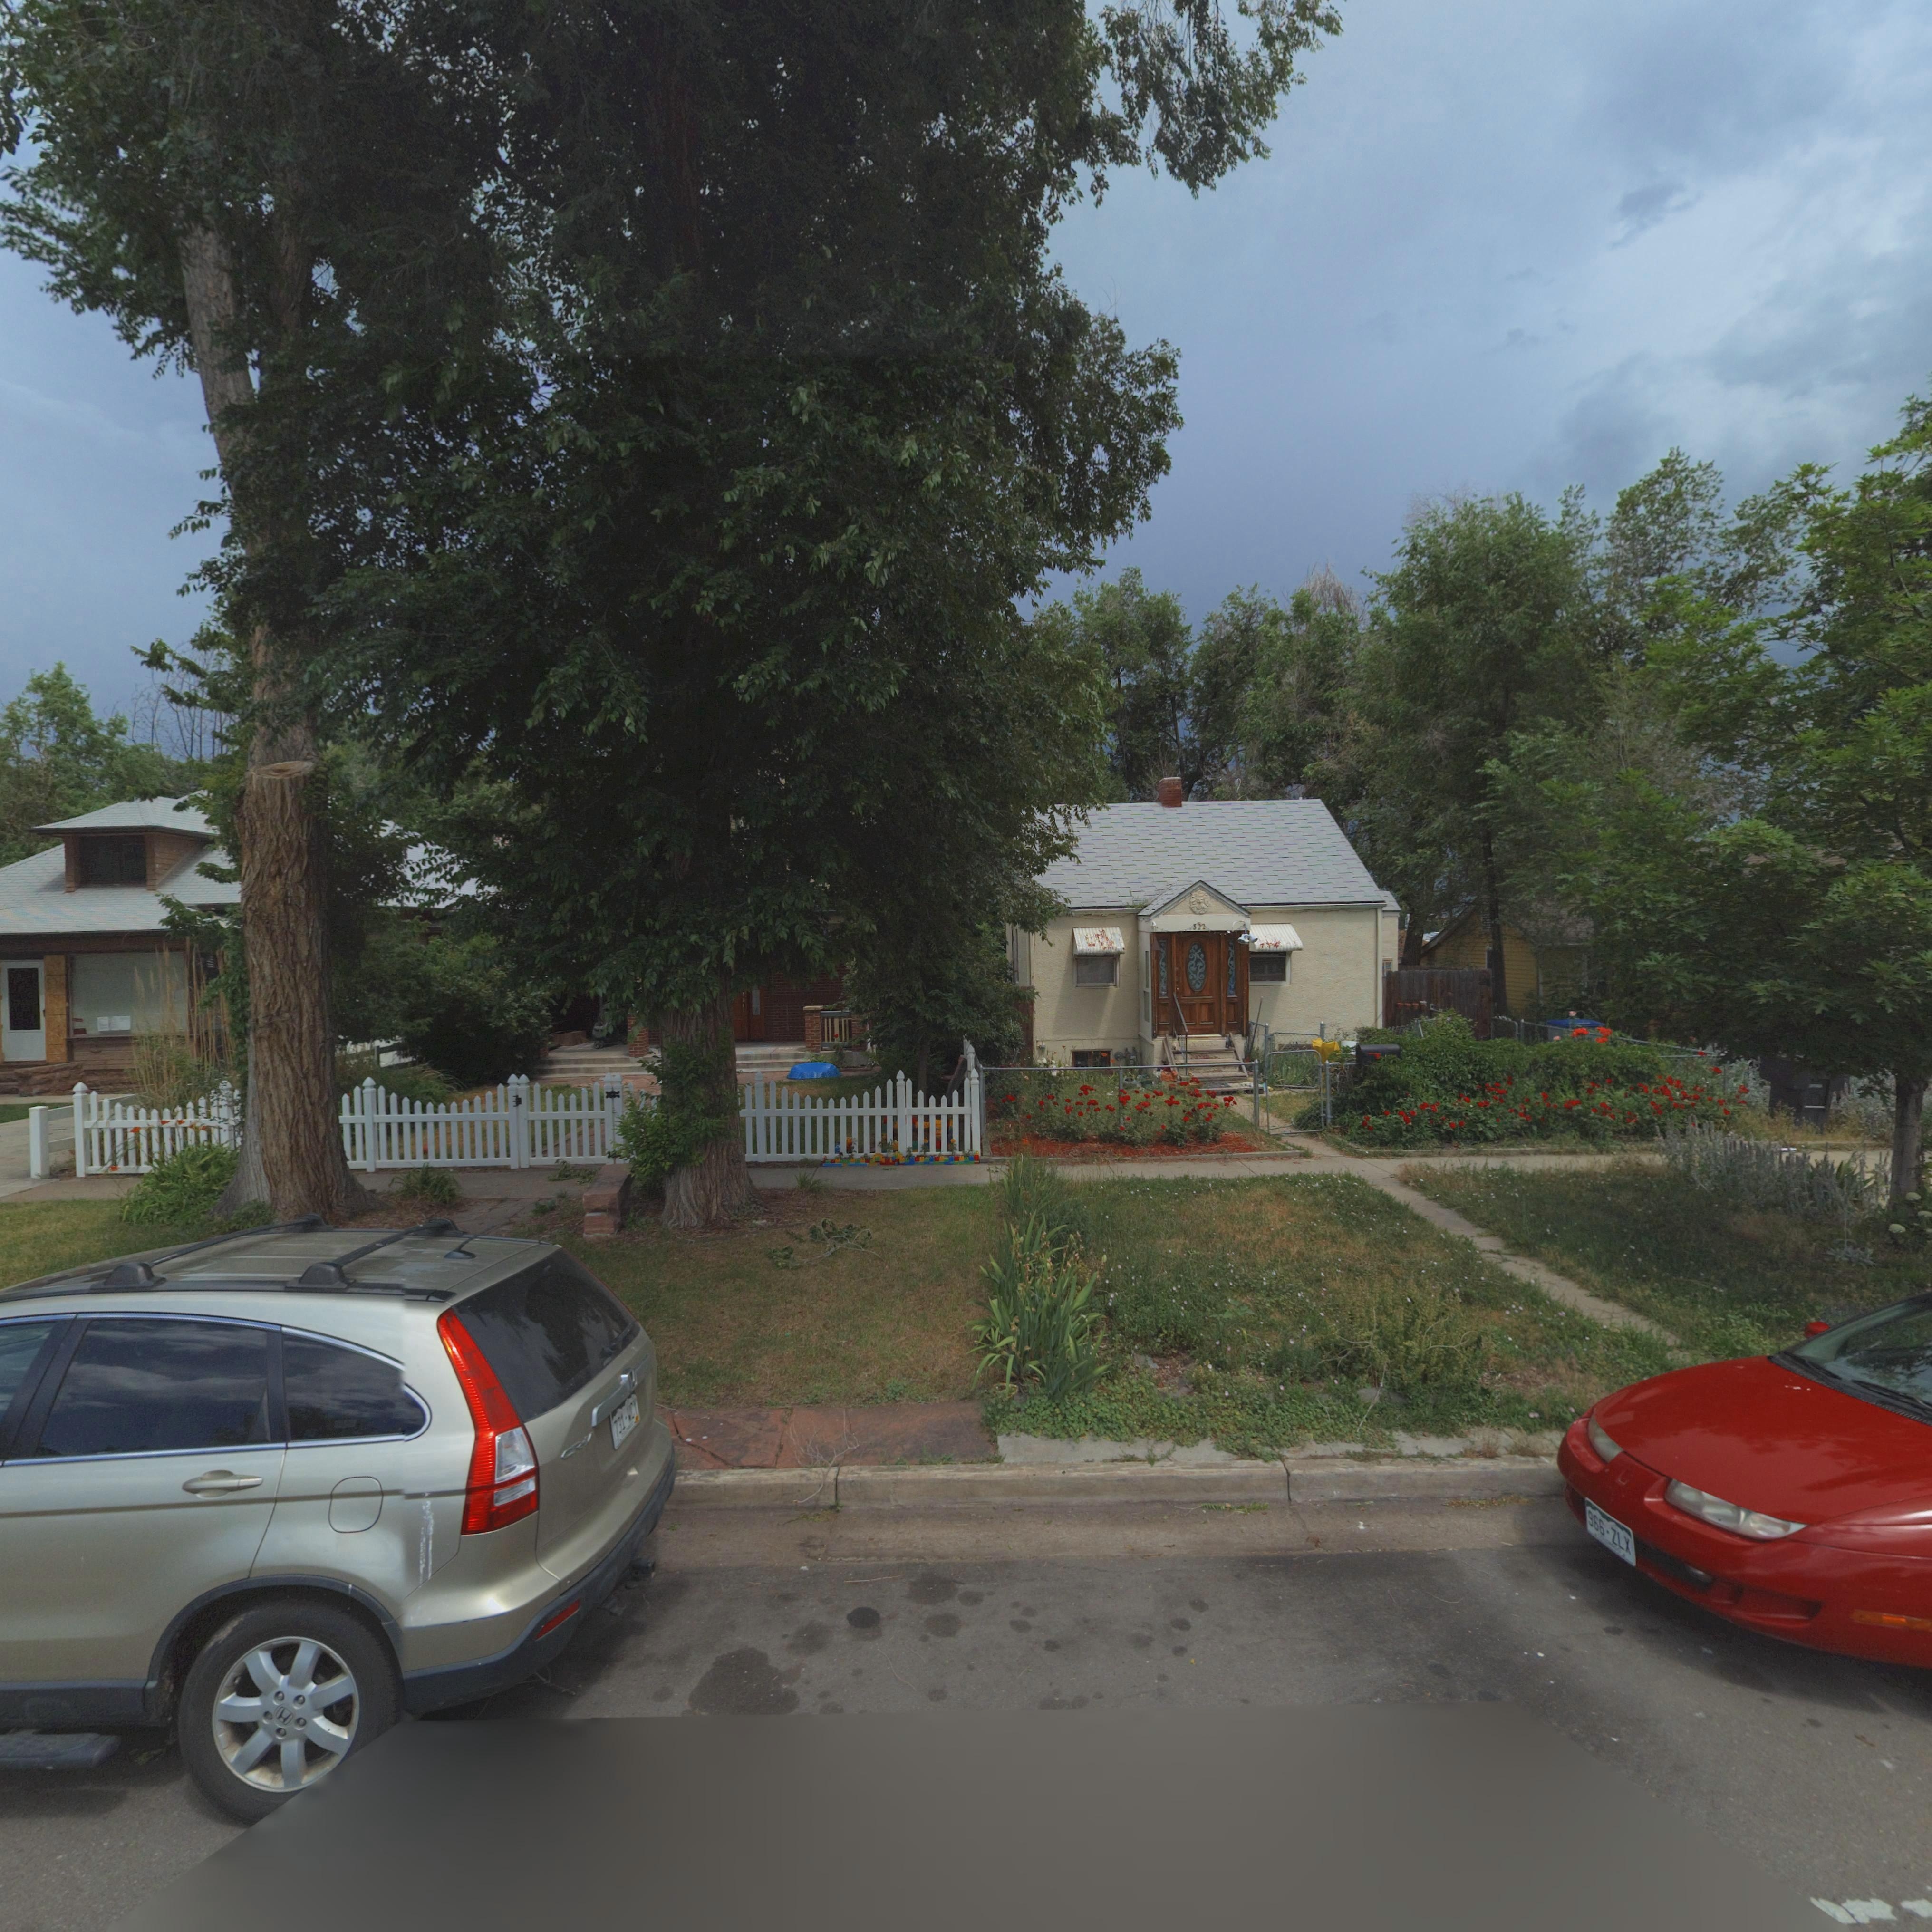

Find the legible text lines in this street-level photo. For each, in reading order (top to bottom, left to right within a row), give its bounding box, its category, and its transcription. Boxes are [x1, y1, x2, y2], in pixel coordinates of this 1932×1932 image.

[1192, 923, 1206, 930] StreetNumber: 322